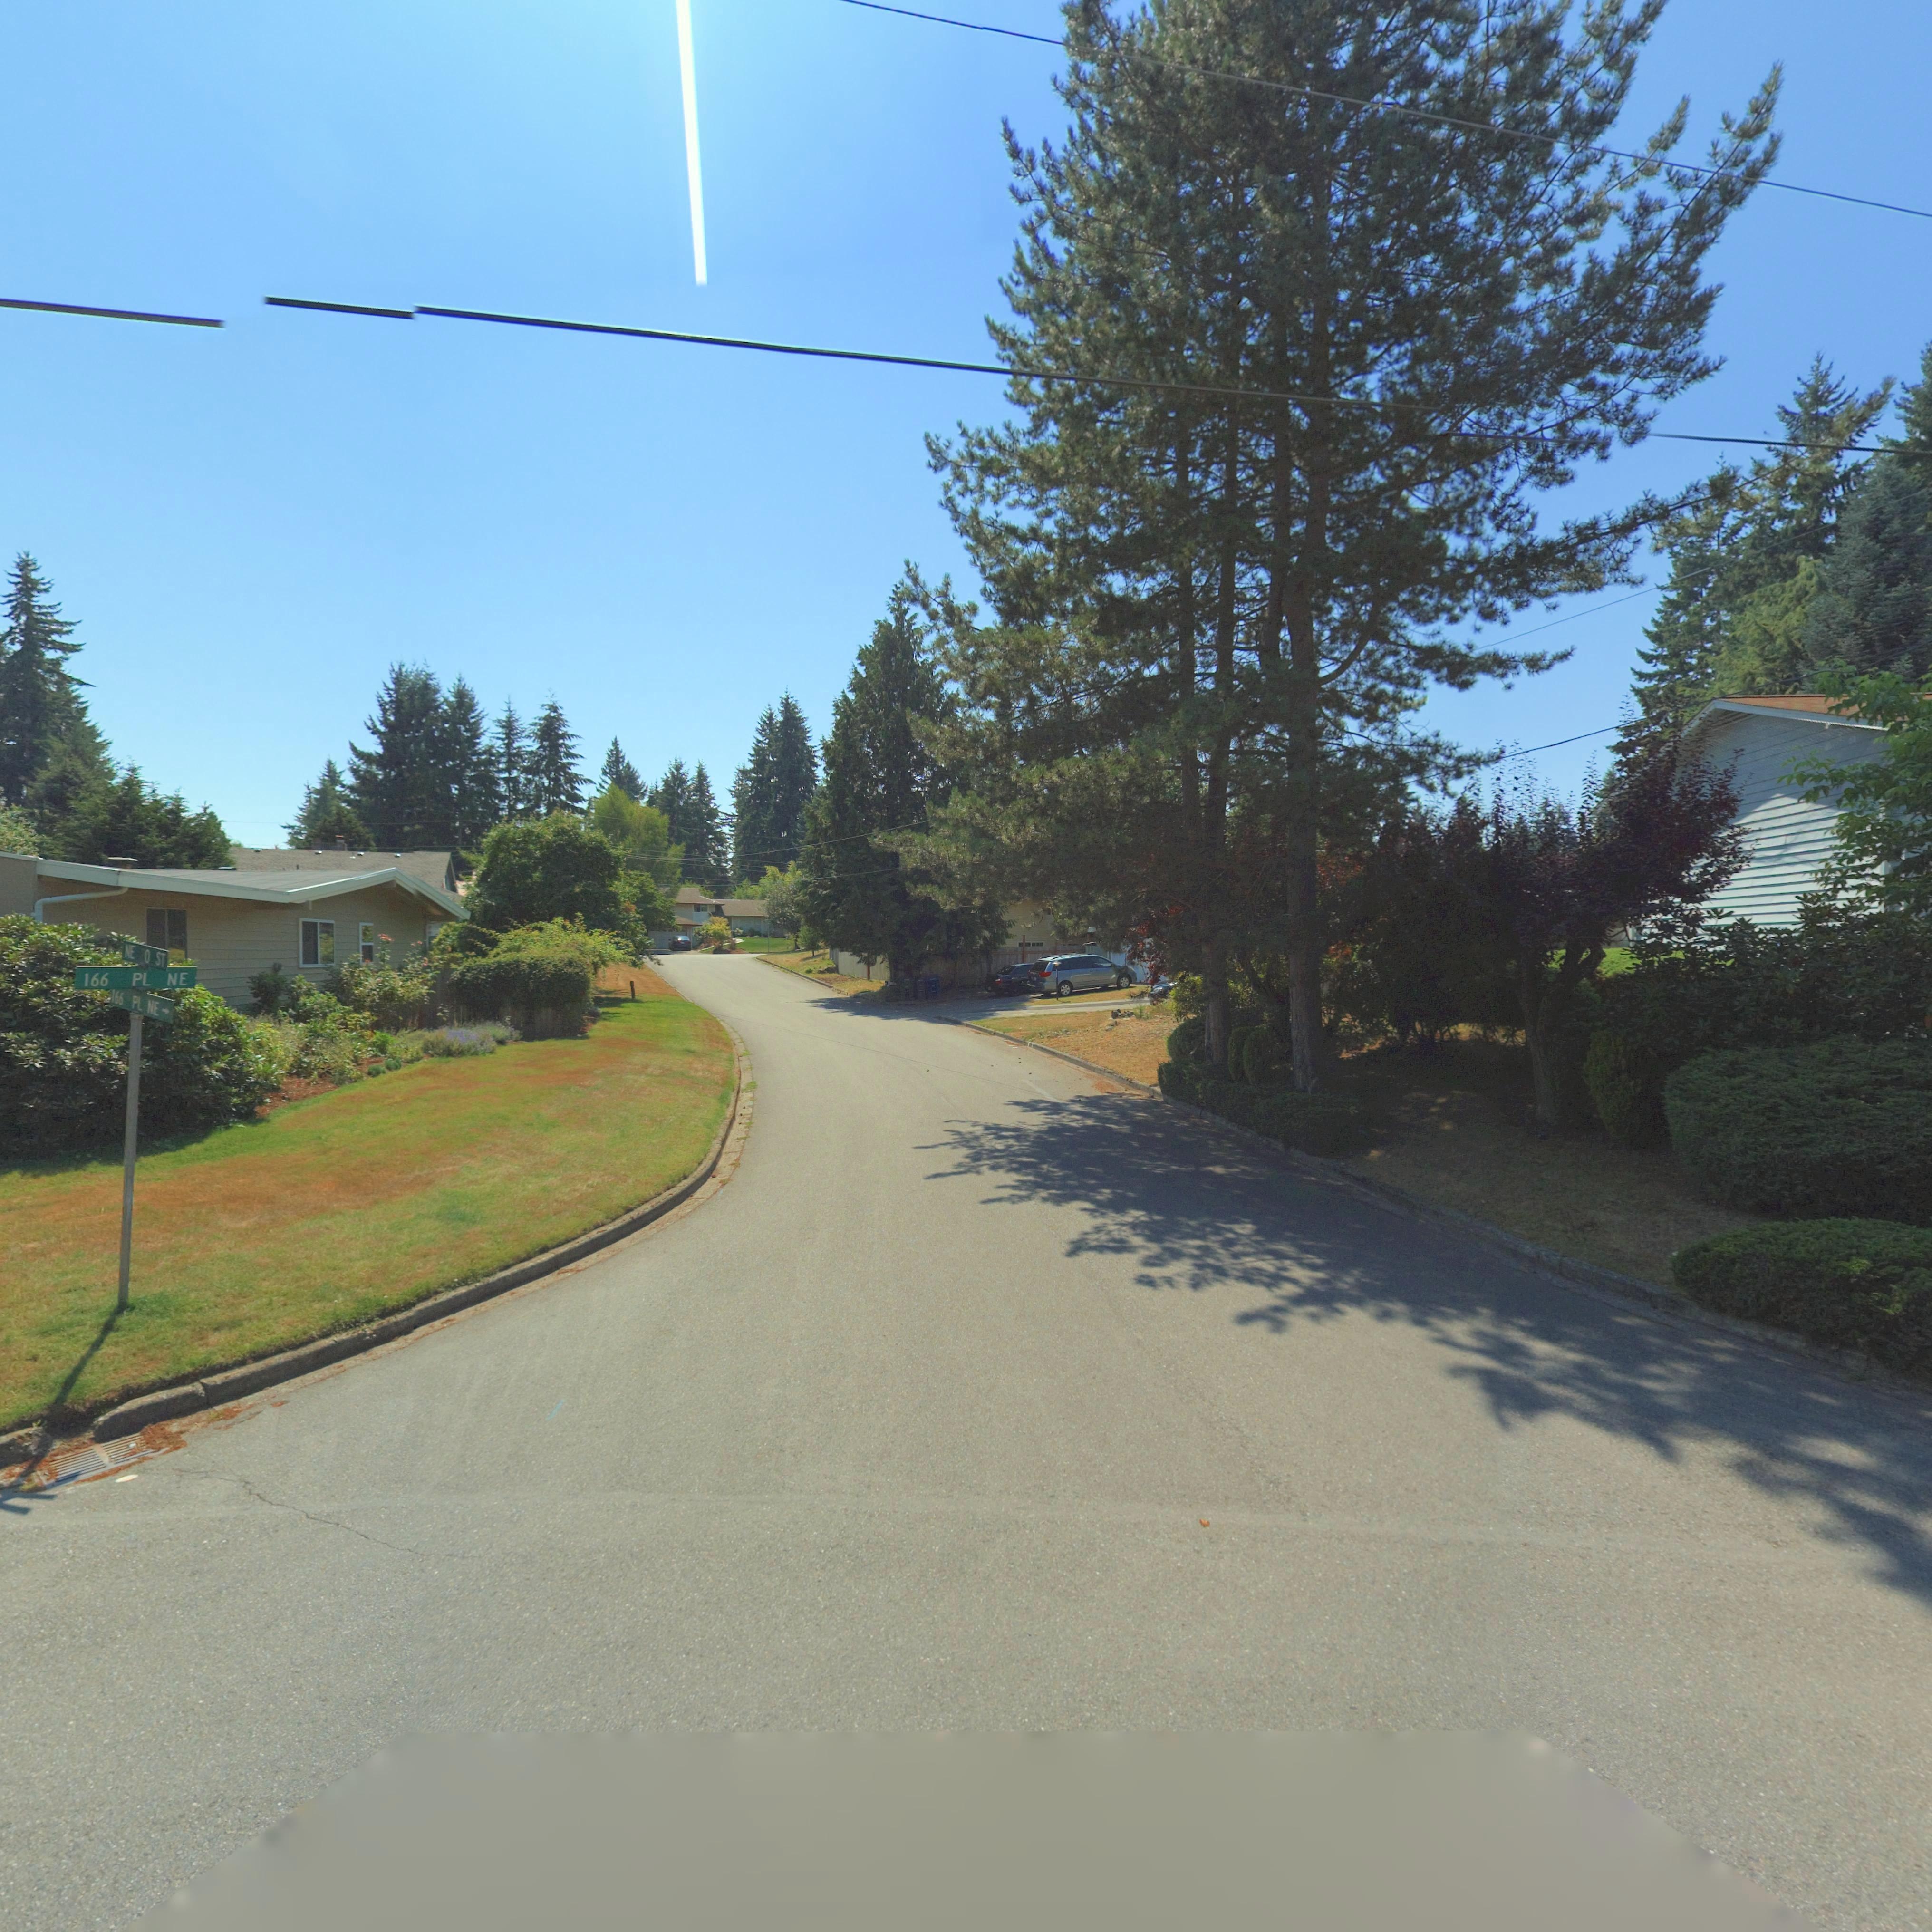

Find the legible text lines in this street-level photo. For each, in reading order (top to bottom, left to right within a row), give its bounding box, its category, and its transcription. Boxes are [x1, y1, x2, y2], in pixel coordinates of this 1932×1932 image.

[123, 942, 167, 967] StreetName: NE *0 ST
[85, 972, 188, 986] StreetName: 166 PL NE
[111, 988, 171, 1018] StreetName: 166 PL NE ->